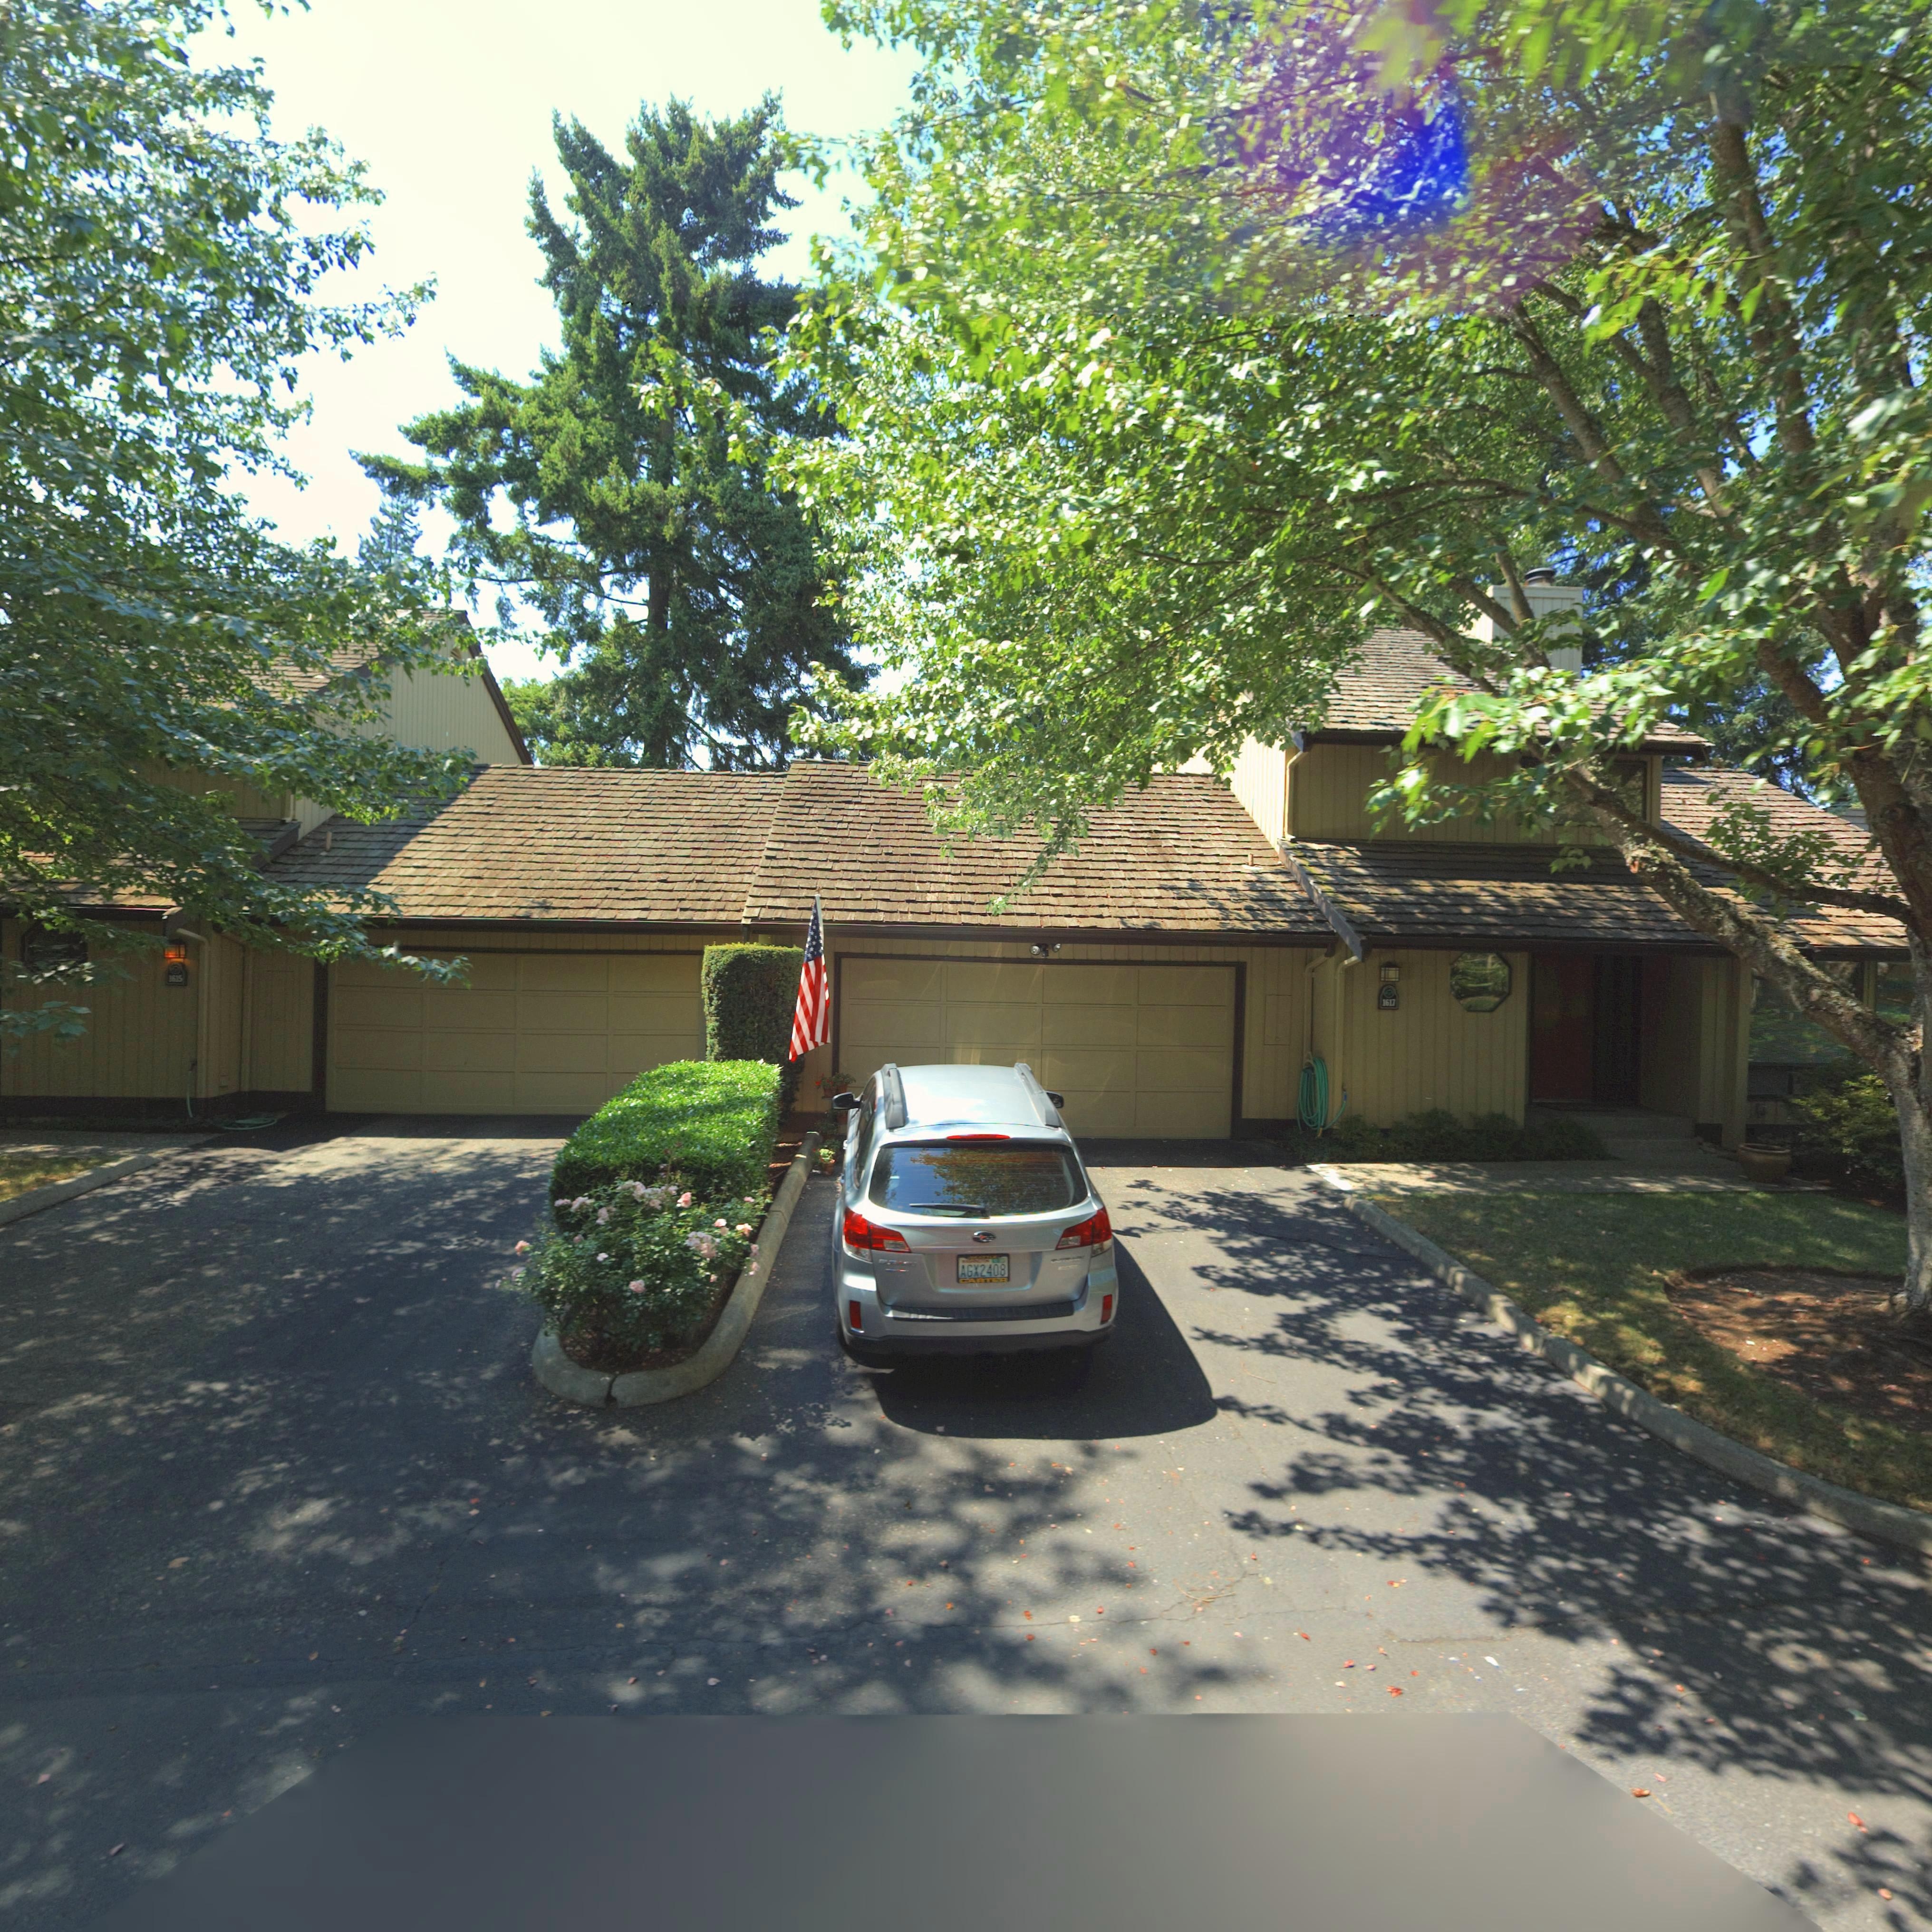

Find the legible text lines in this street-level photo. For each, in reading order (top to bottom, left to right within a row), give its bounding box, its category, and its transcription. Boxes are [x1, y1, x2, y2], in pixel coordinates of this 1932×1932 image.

[168, 974, 182, 982] StreetNumber: 1615